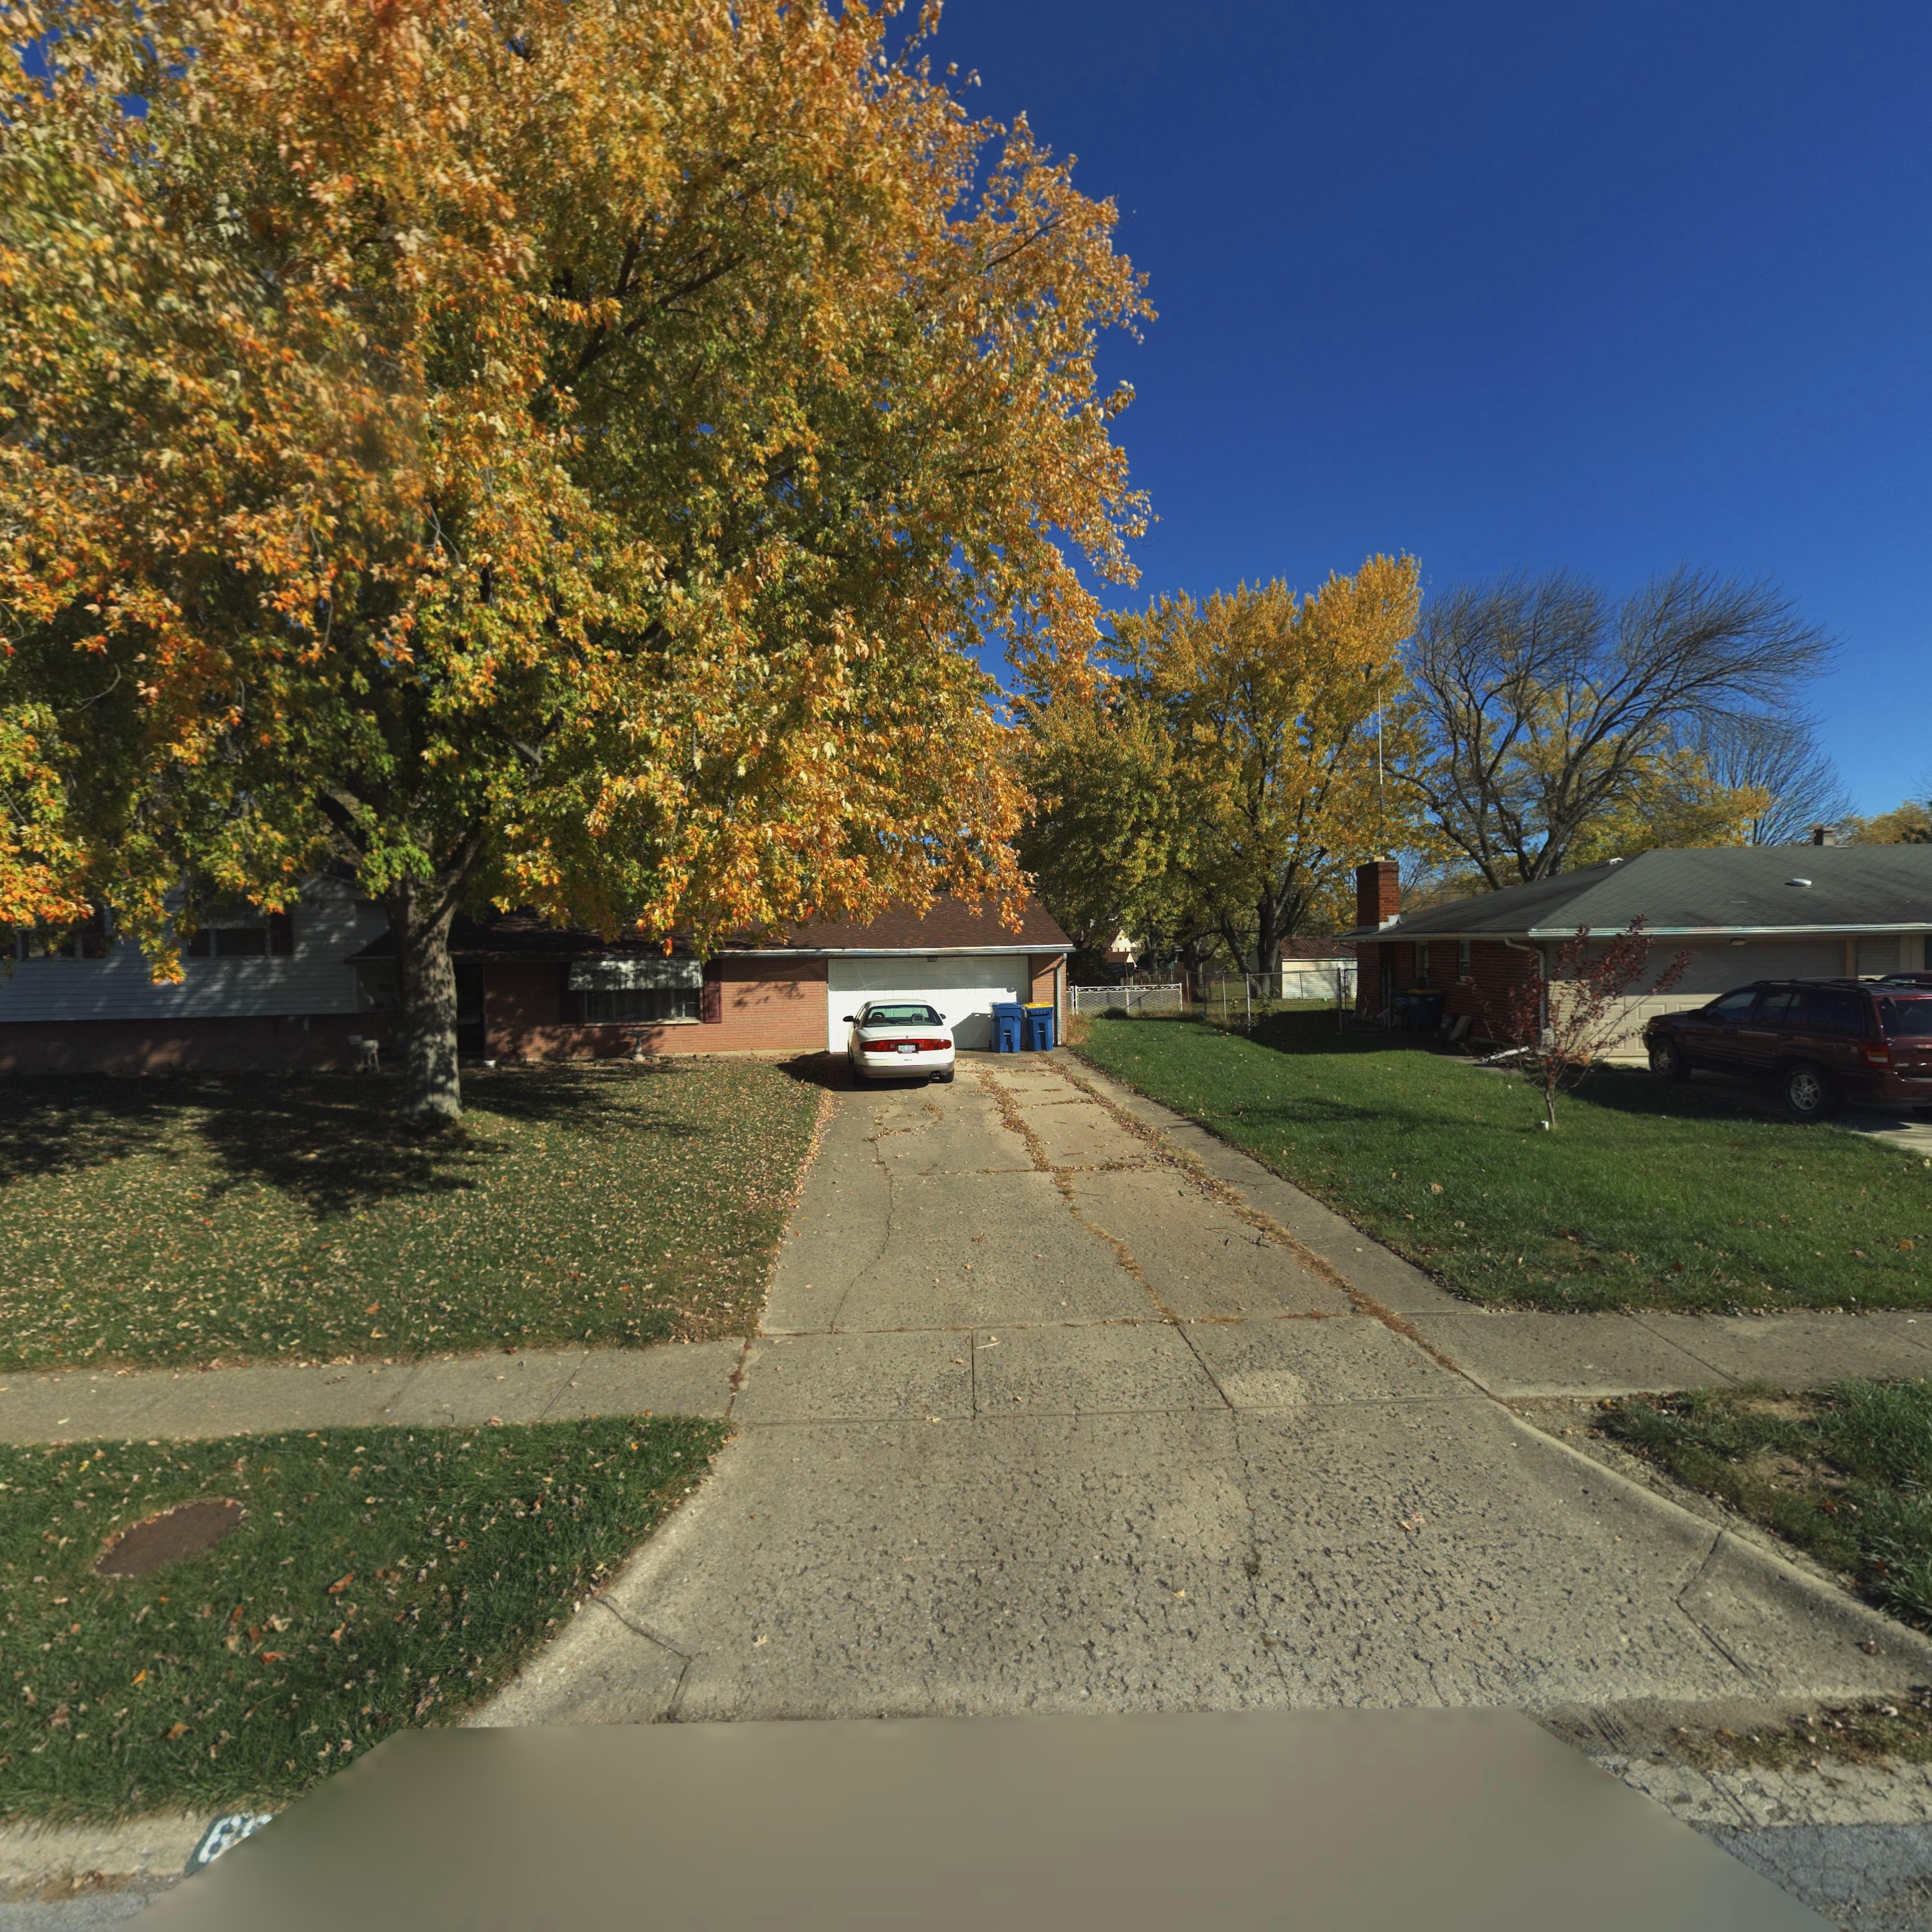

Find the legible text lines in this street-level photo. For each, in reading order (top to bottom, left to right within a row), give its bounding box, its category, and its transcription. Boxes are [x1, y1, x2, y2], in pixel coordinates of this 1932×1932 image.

[196, 1811, 245, 1864] StreetNumber: 6